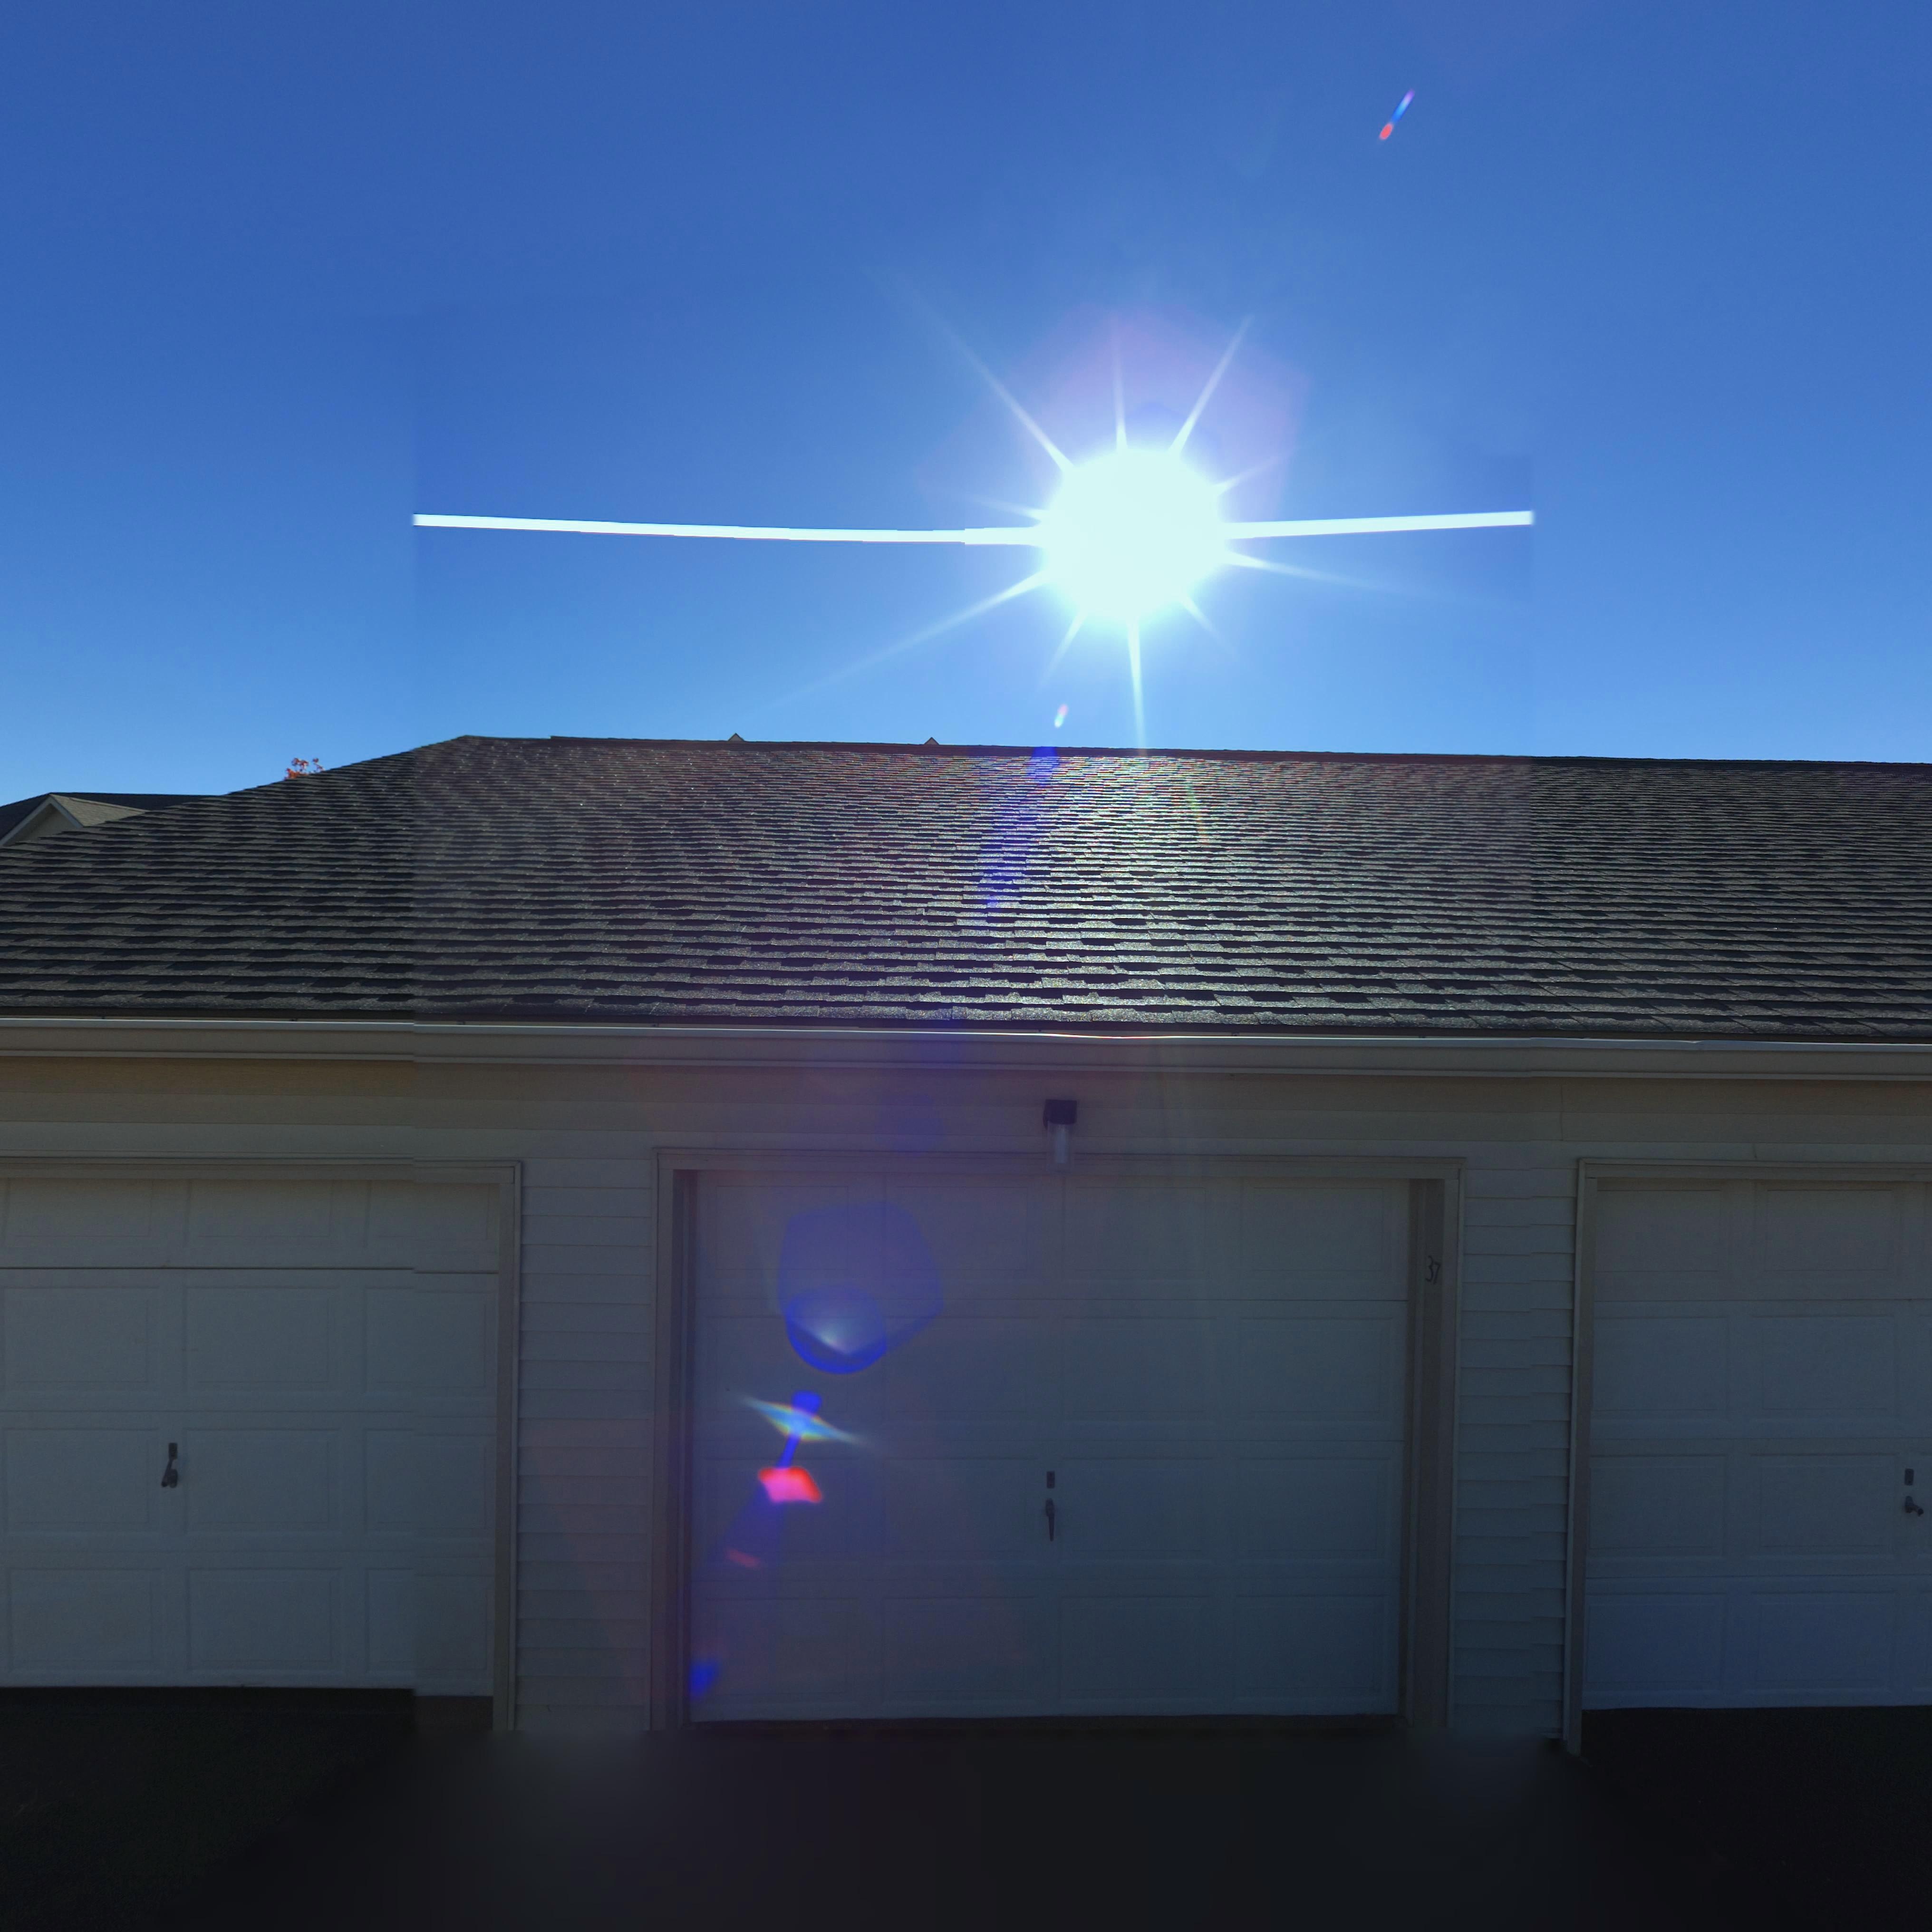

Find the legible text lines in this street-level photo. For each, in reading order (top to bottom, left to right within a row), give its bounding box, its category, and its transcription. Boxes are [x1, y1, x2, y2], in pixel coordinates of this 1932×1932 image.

[1424, 1253, 1442, 1287] StreetNumber: 37